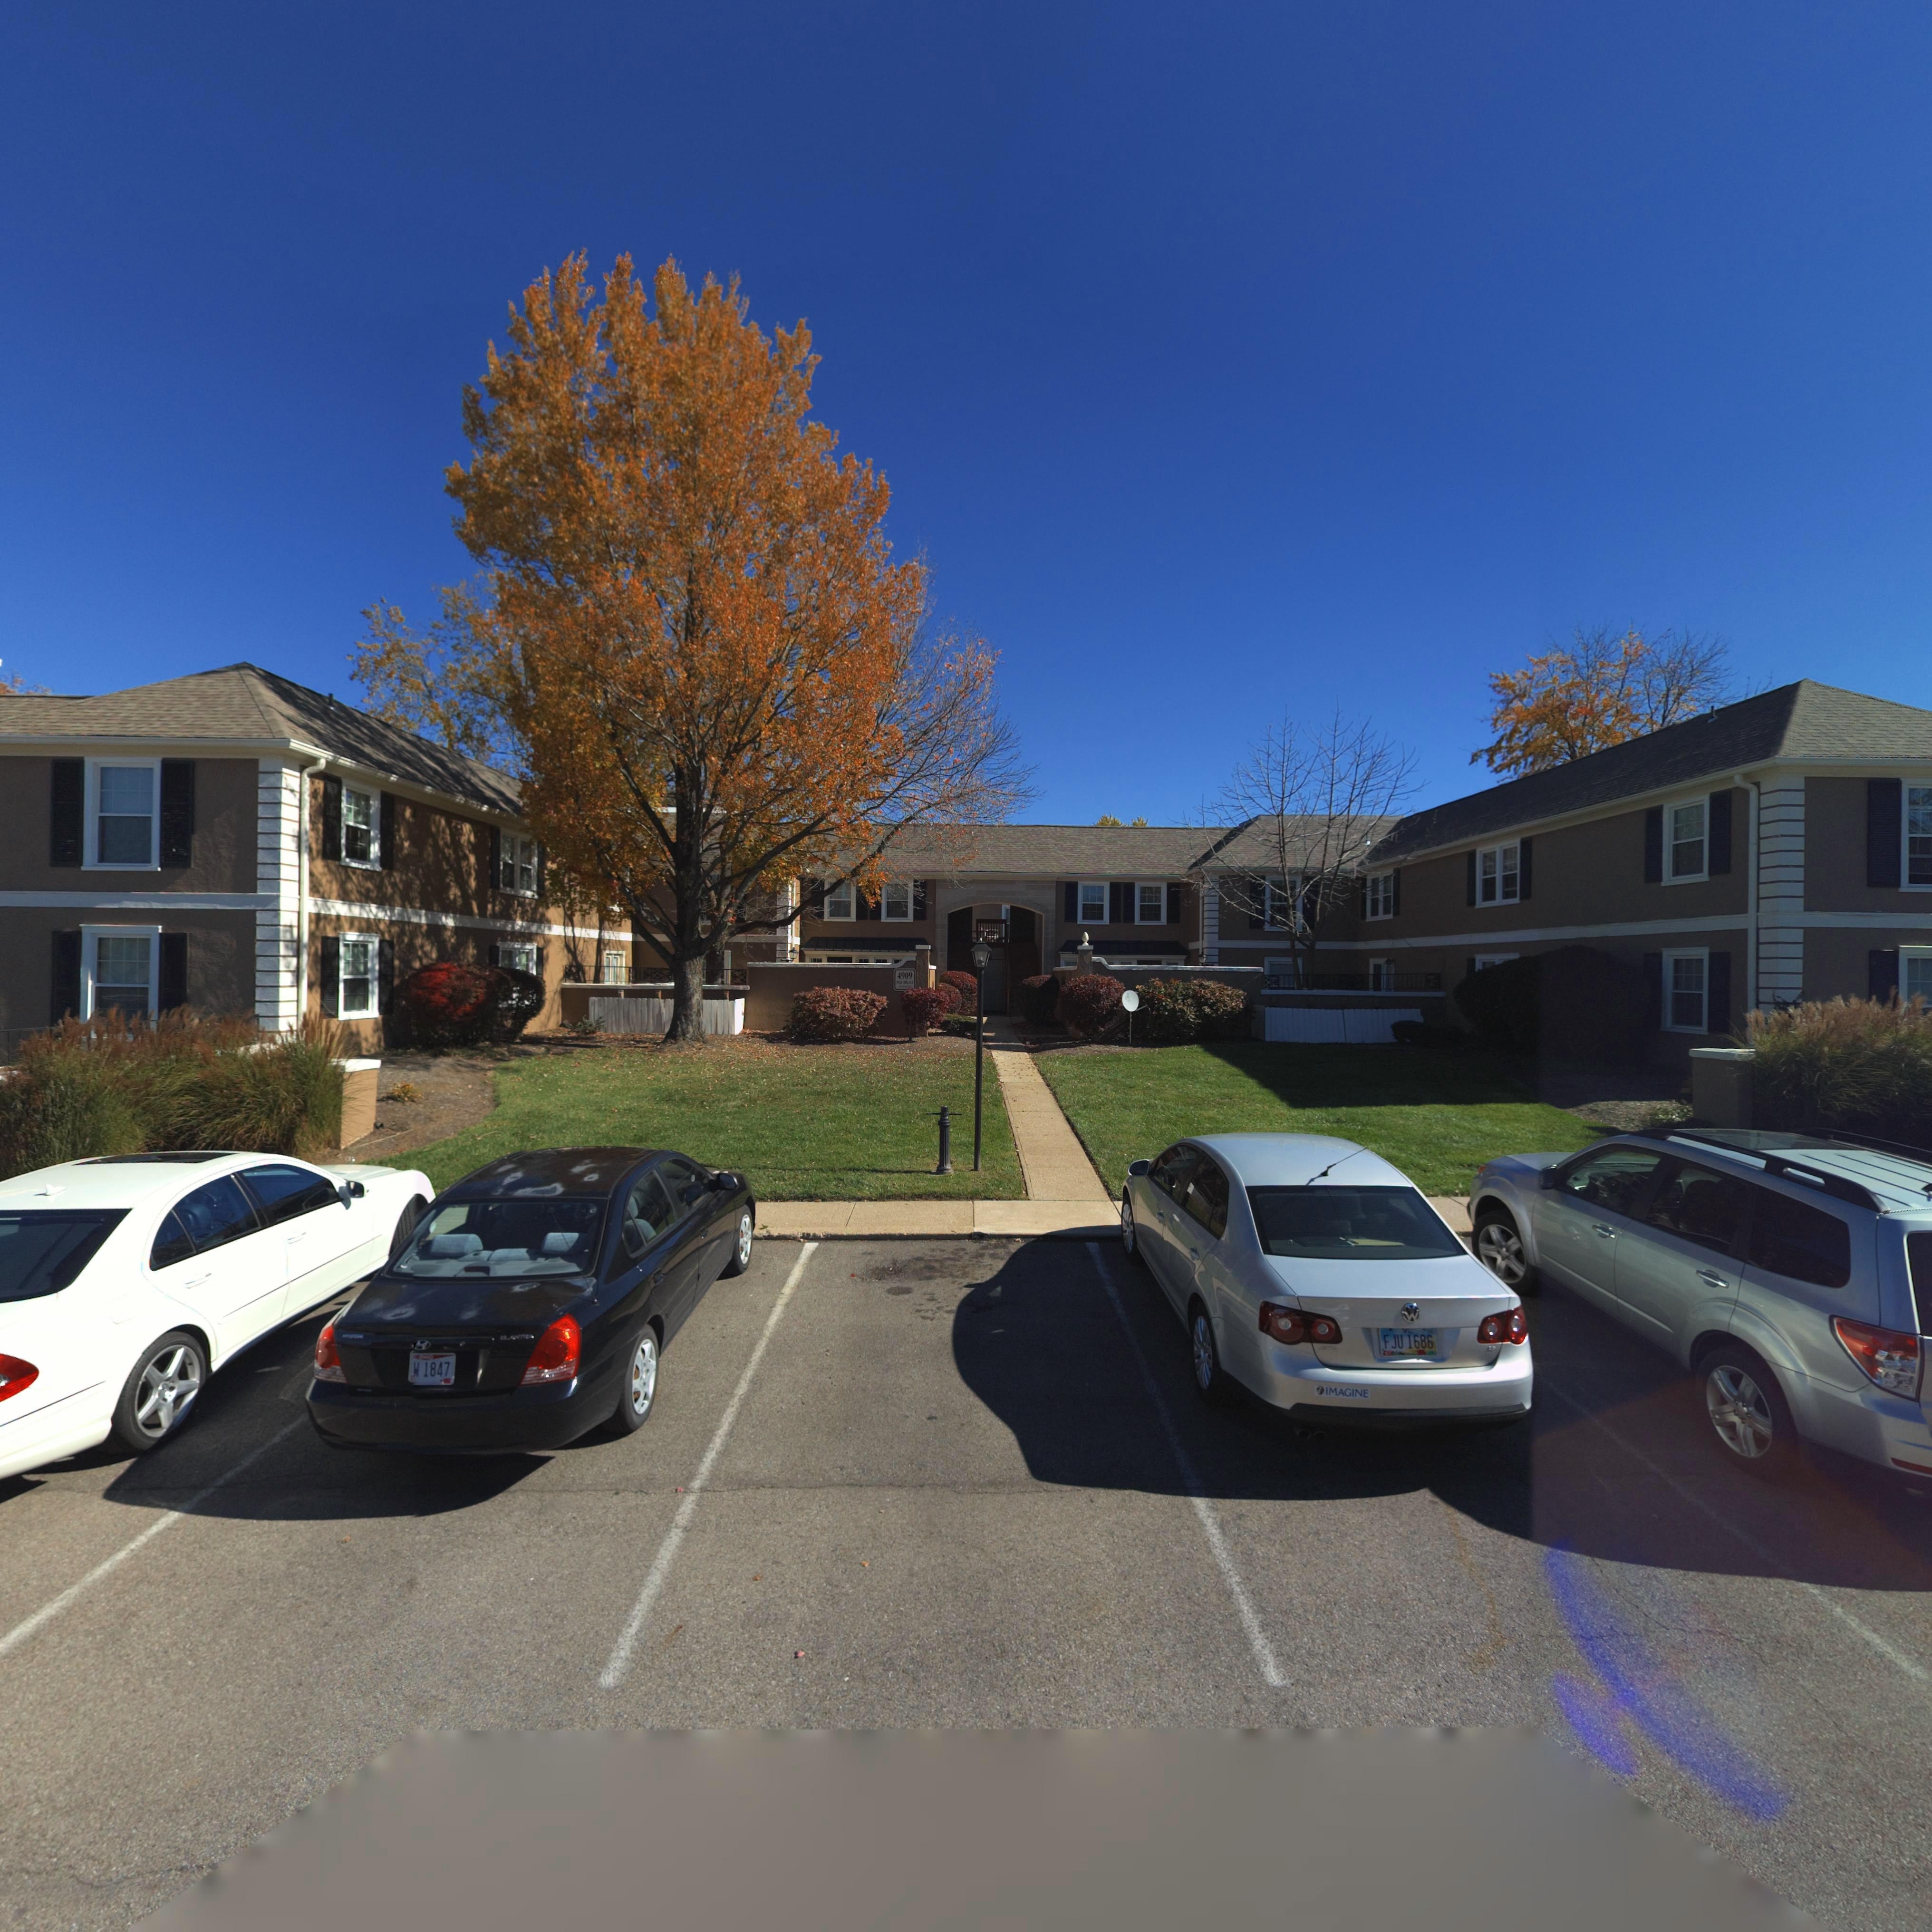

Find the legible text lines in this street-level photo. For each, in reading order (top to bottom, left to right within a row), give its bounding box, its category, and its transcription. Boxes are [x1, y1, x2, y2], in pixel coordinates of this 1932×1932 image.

[897, 971, 913, 980] StreetNumber: 4909